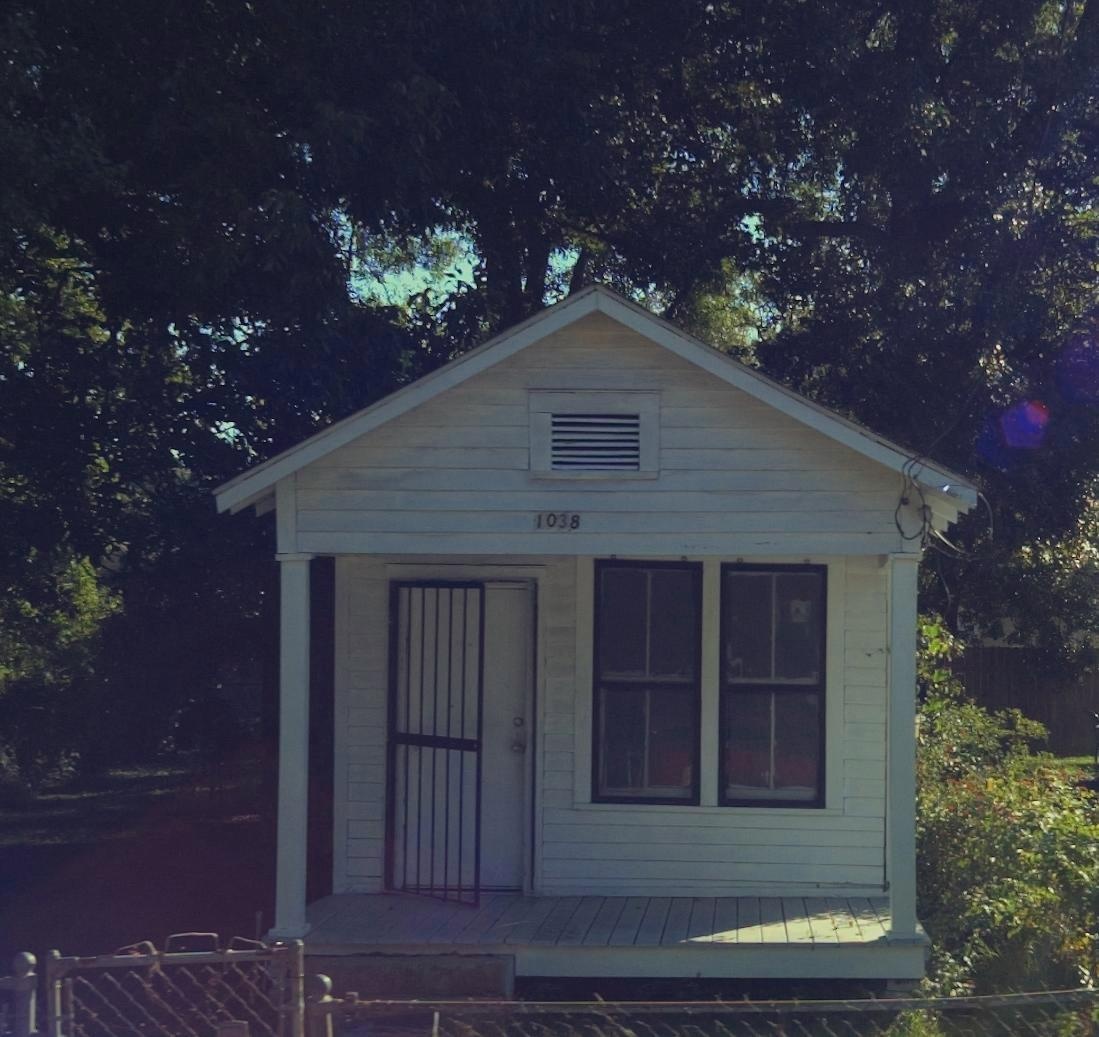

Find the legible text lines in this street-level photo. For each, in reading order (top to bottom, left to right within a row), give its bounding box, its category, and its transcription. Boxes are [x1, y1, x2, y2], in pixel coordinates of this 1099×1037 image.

[535, 511, 582, 531] StreetNumber: 1038